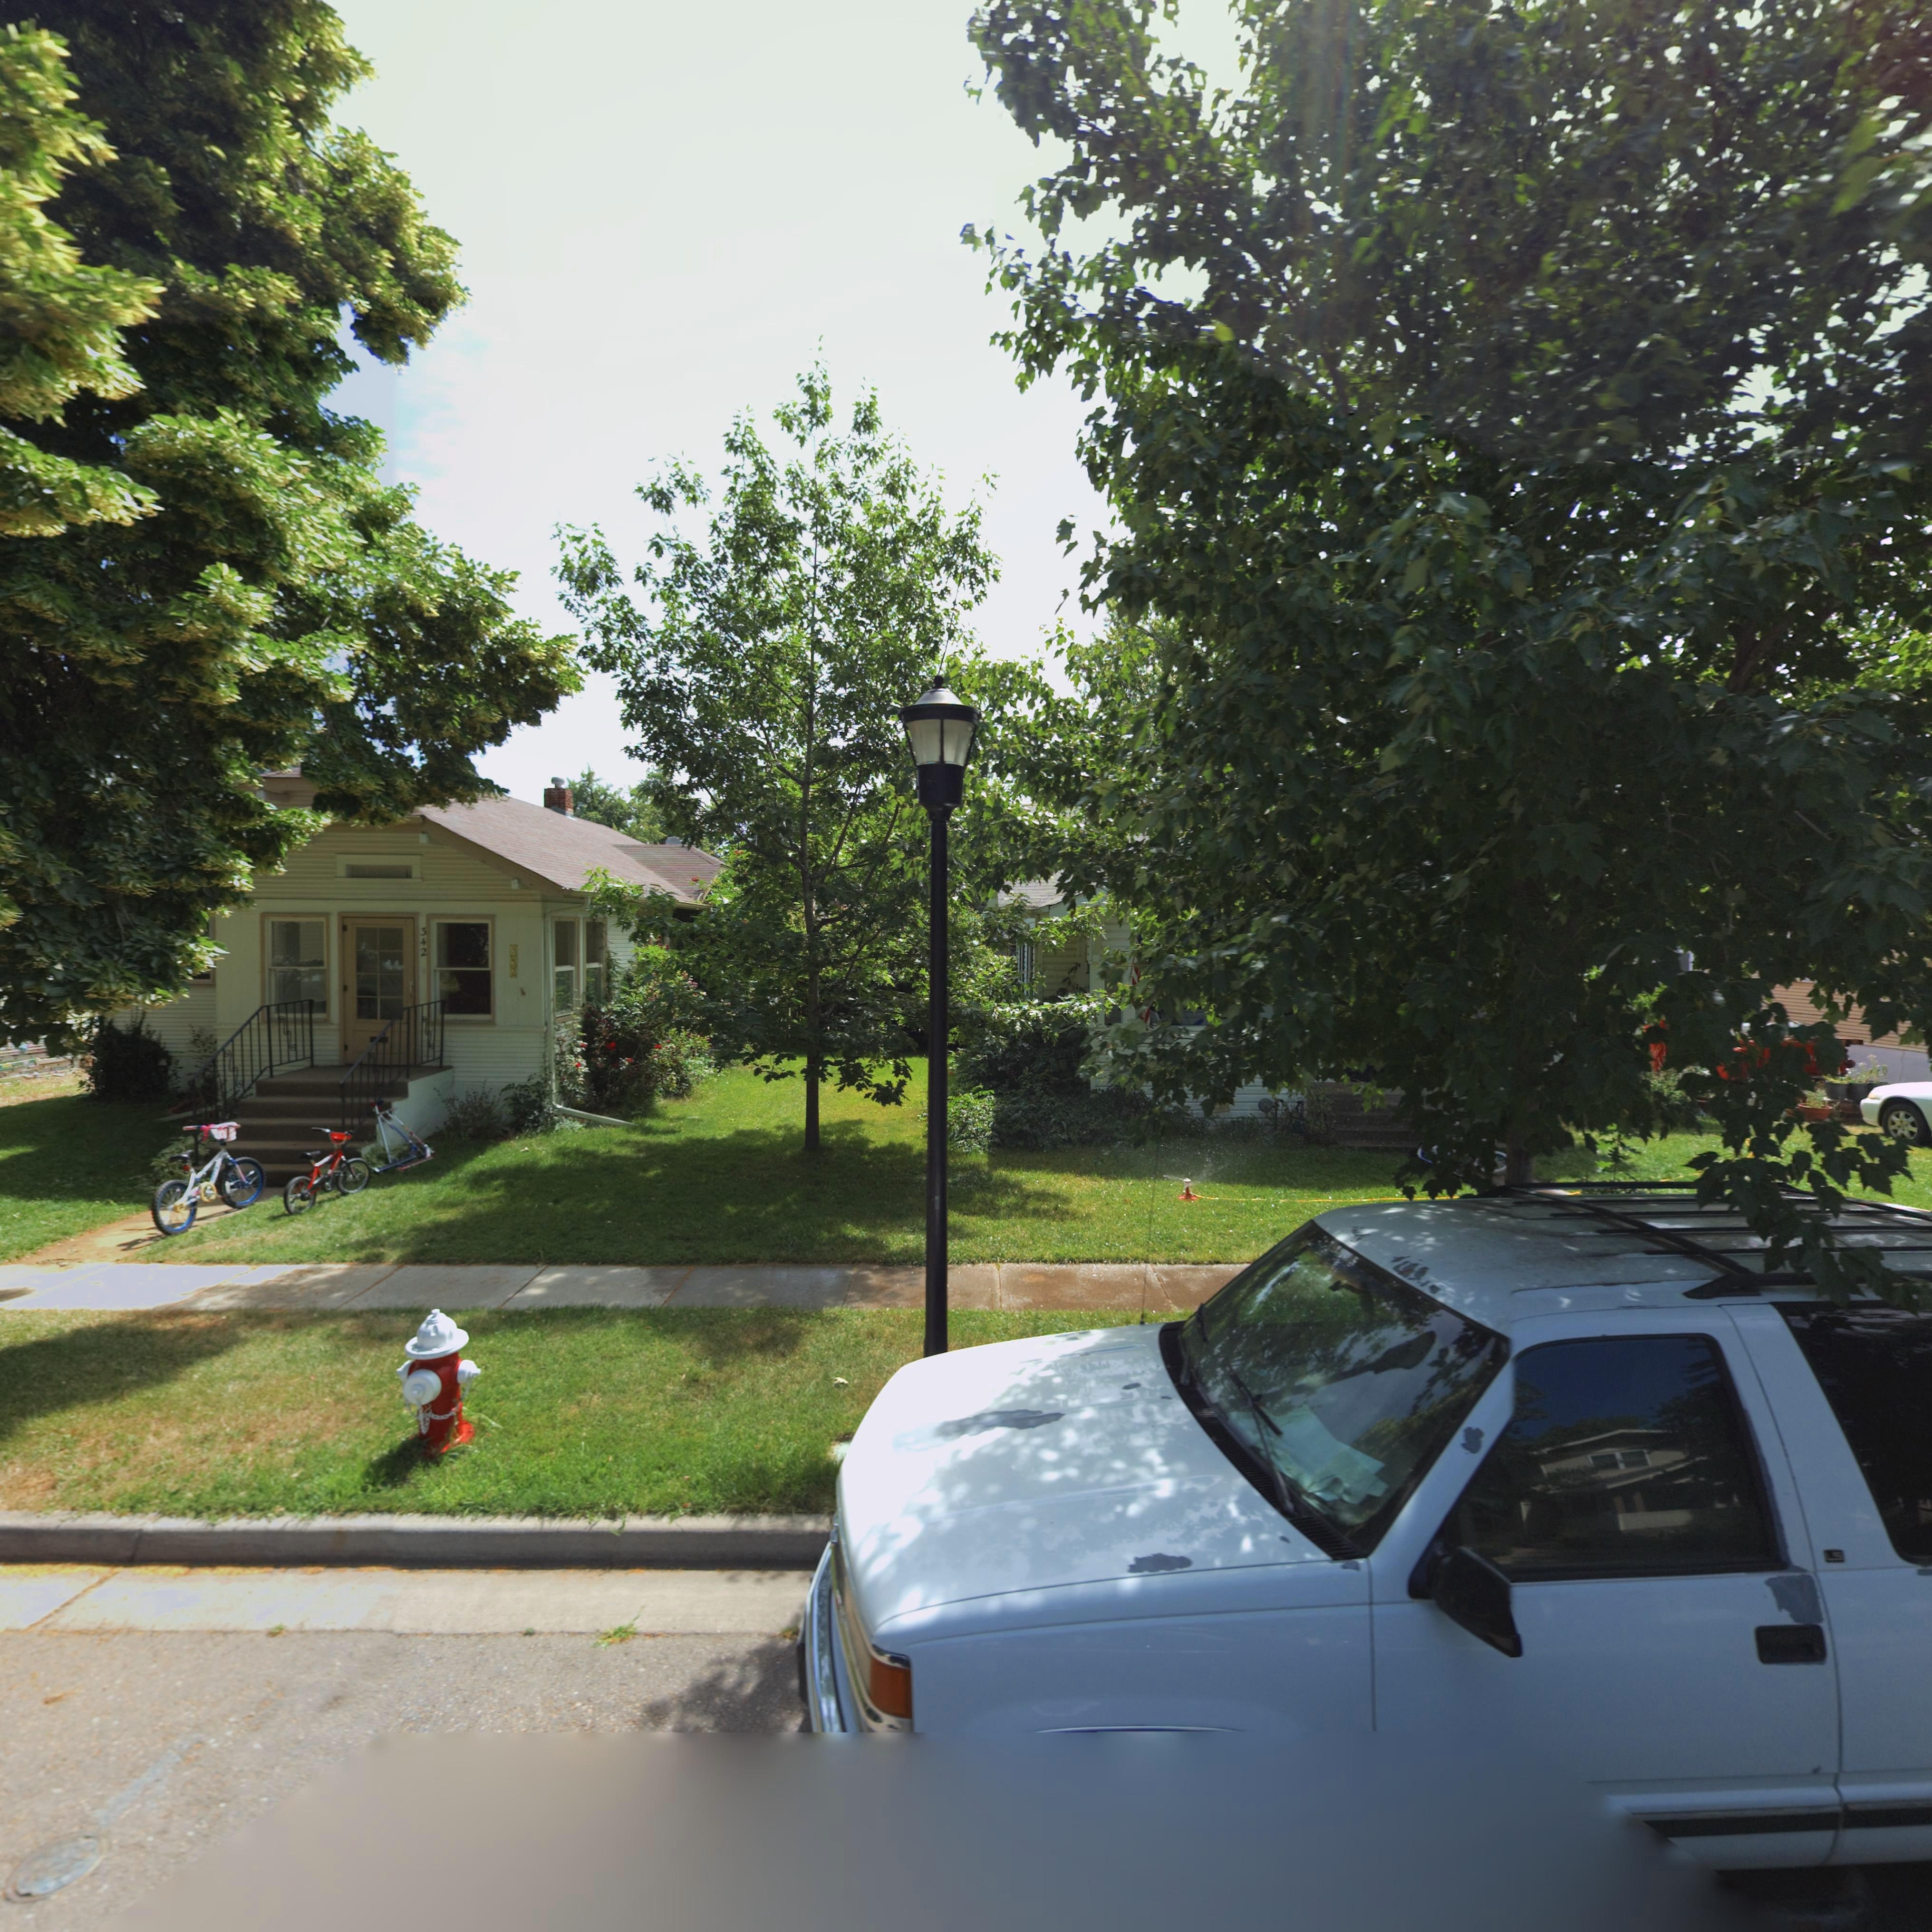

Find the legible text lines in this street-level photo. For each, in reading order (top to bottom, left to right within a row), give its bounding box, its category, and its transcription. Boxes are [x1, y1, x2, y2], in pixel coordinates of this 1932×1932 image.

[420, 927, 426, 956] StreetNumber: 342
[511, 947, 516, 976] StreetNumber: 342